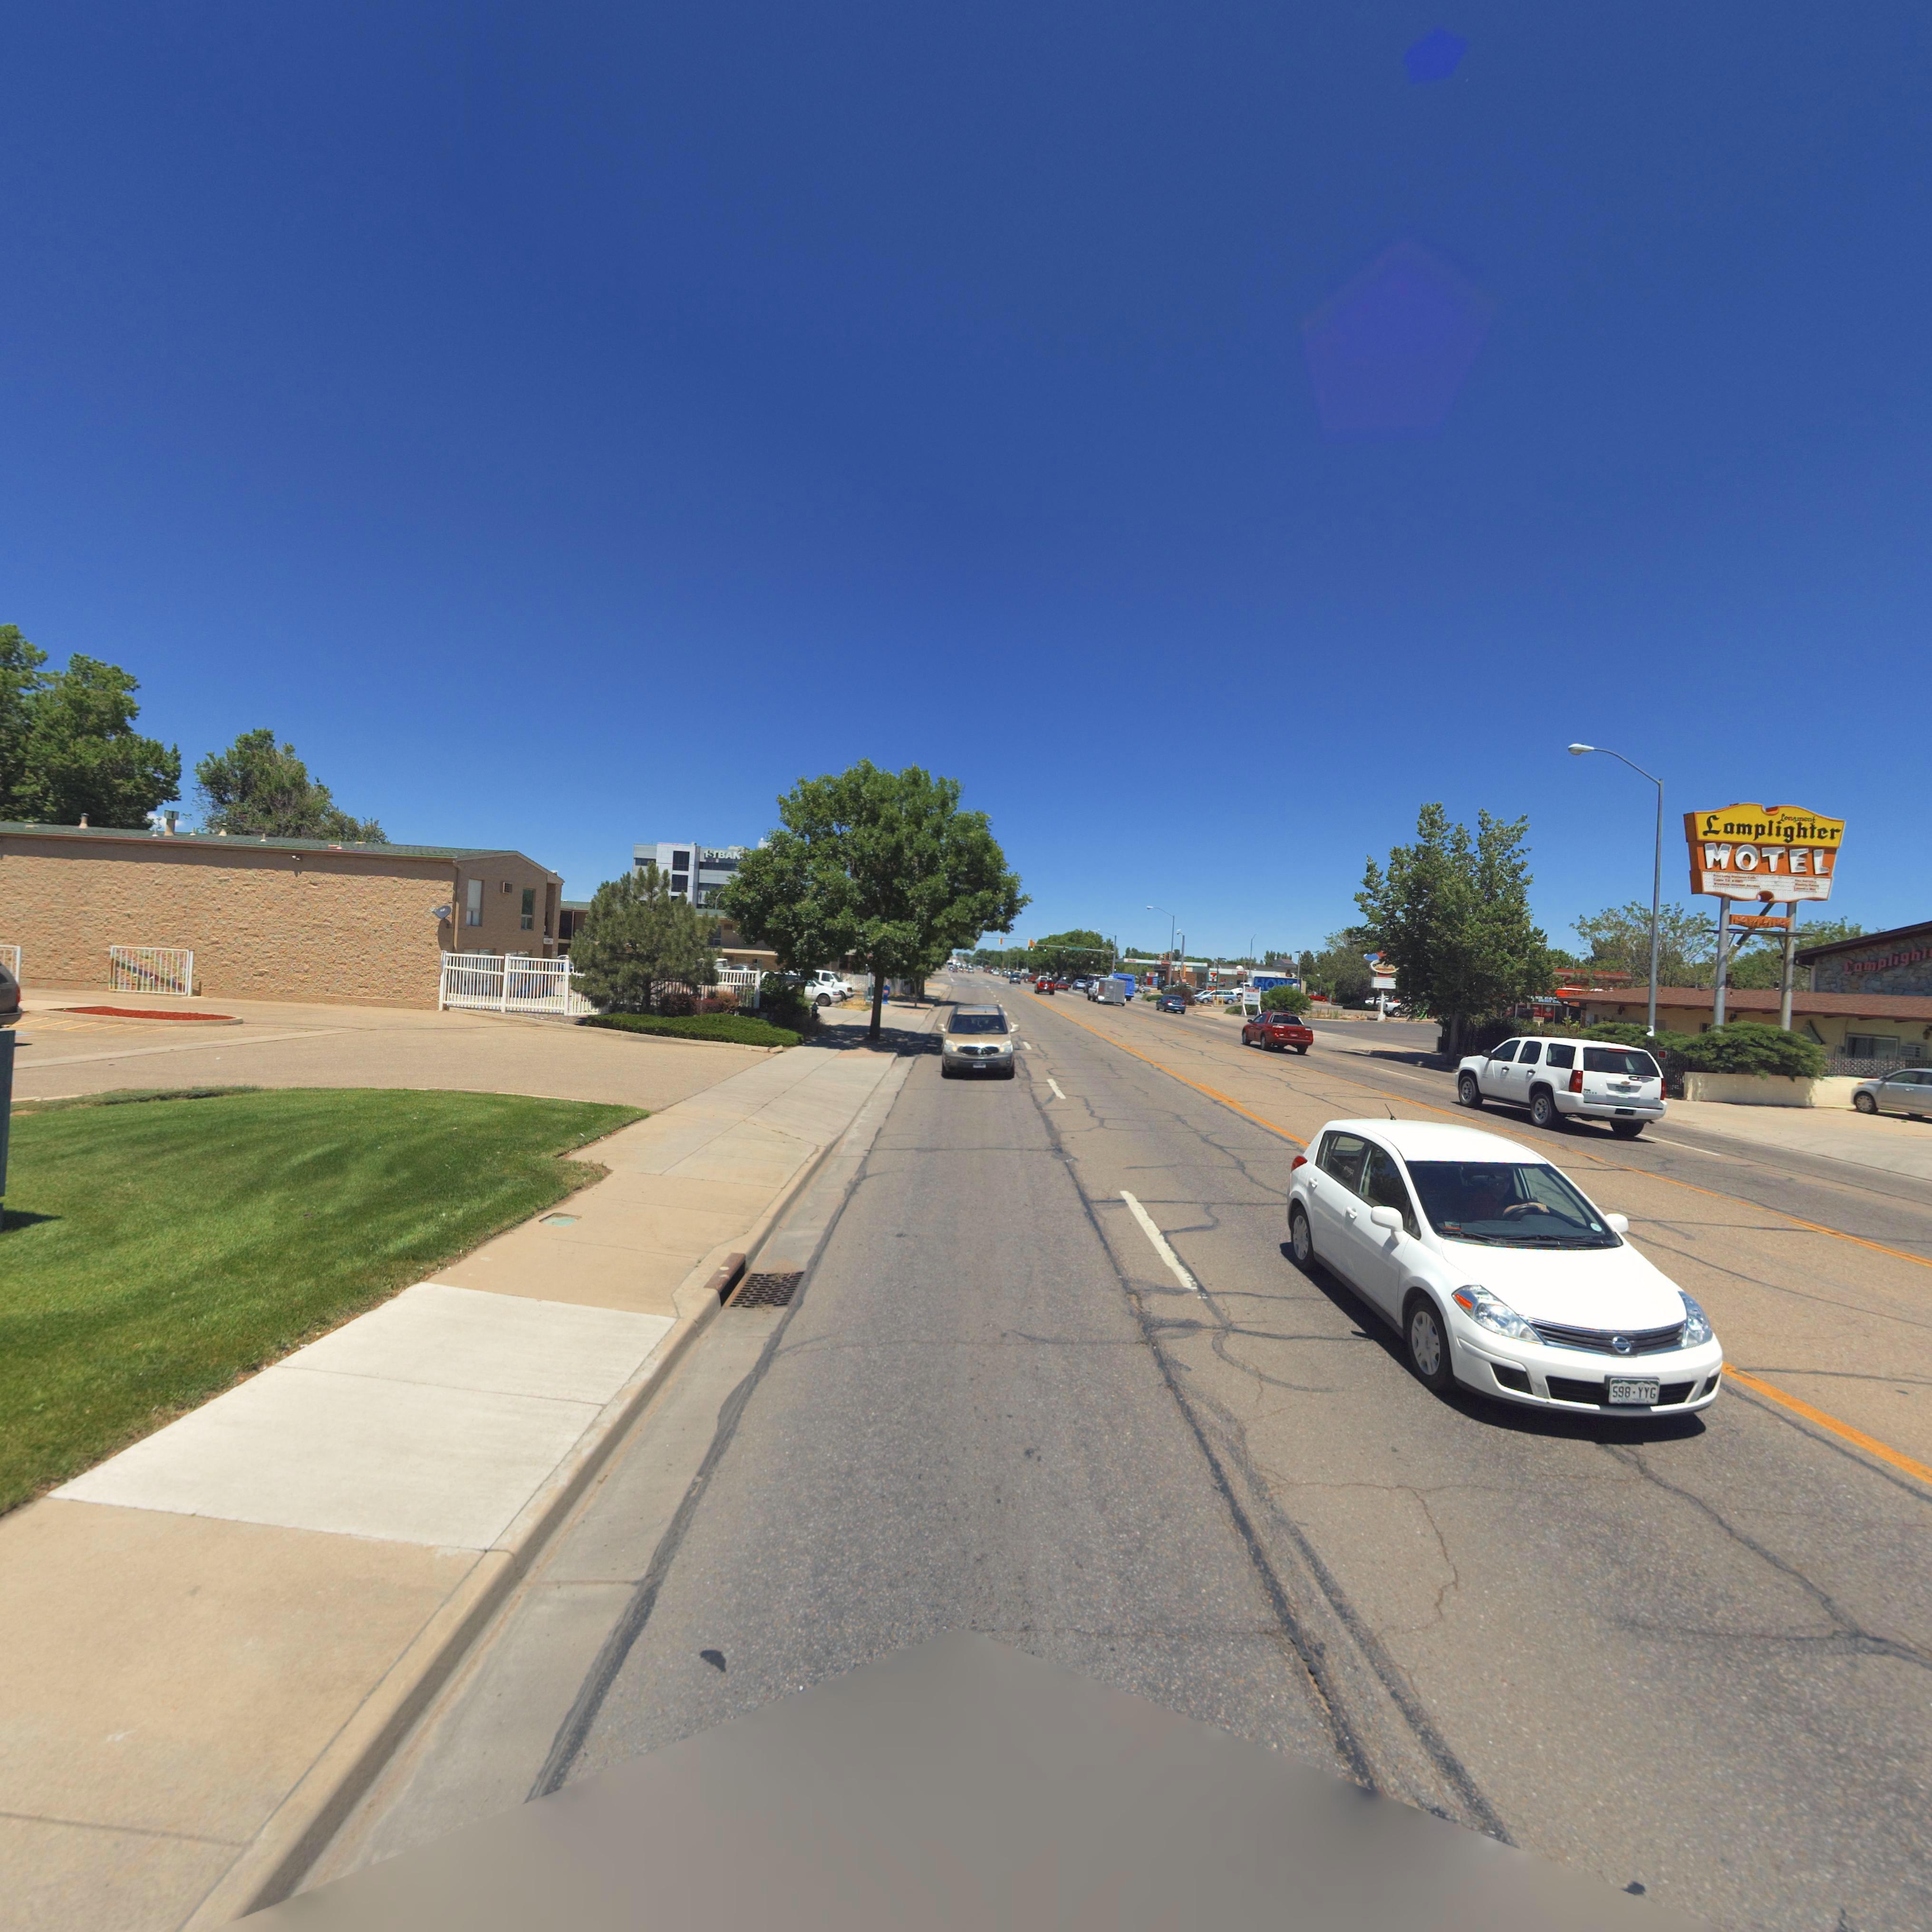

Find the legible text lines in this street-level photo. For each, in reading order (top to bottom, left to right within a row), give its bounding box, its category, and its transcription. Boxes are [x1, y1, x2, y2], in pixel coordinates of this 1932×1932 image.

[1701, 813, 1843, 844] BusinessName: Lamplighter
[1777, 812, 1816, 823] BusinessName: Longmont*
[703, 850, 748, 860] BusinessName: 1ST BAN*
[1702, 841, 1832, 876] BusinessName: MOTEL
[1127, 958, 1136, 962] BusinessName: Sin*****
[1842, 945, 1929, 976] BusinessName: Lamplight